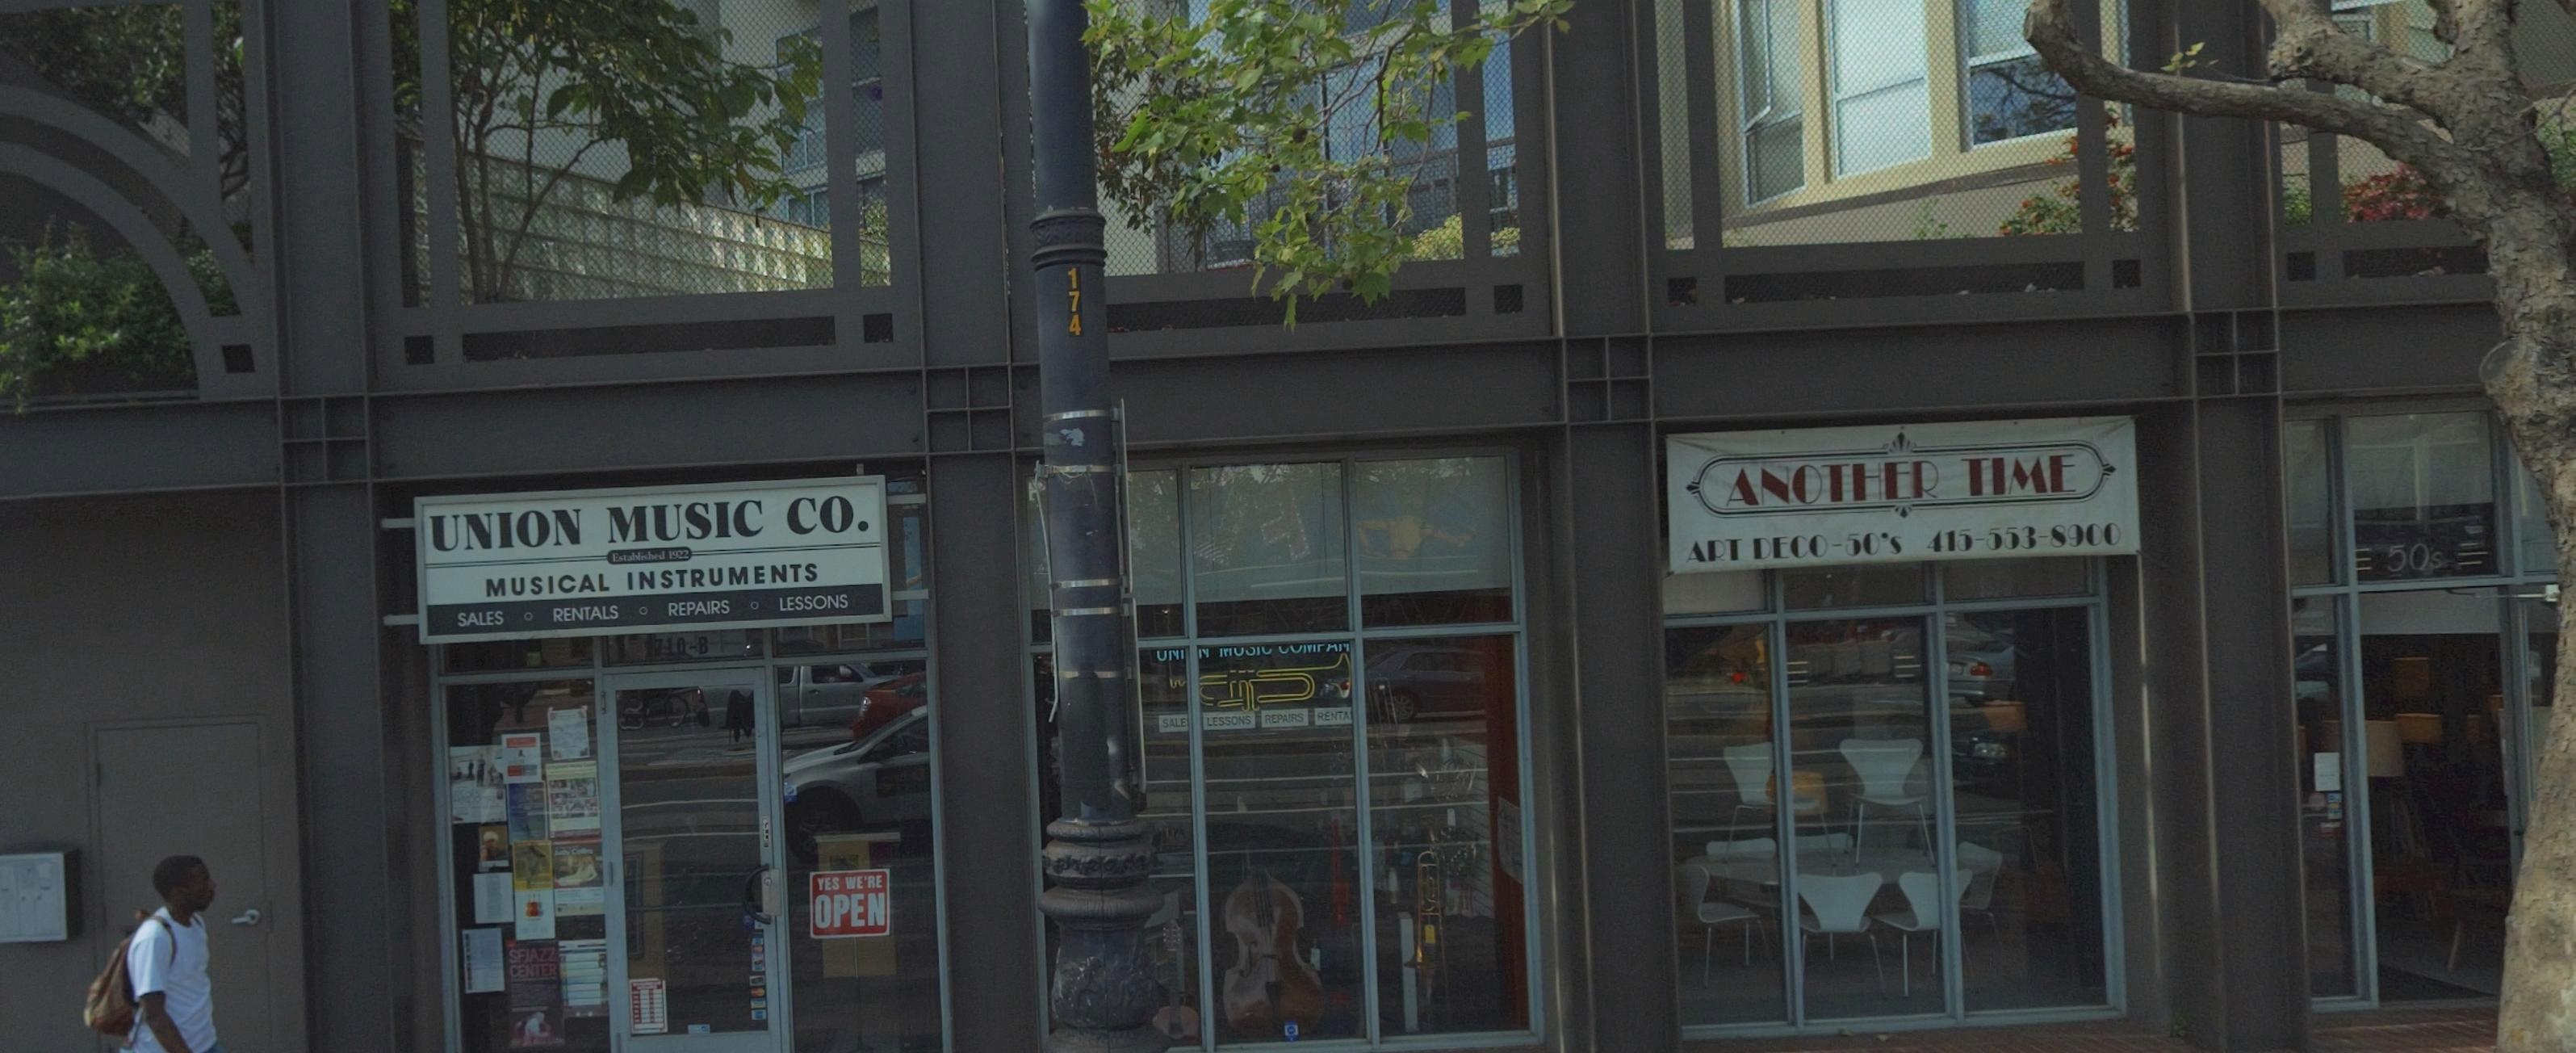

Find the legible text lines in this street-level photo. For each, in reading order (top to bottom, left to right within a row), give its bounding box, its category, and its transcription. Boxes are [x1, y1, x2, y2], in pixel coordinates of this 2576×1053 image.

[1063, 265, 1086, 339] None: 174
[1719, 451, 2080, 511] BusinessName: ANOTHER TIME
[426, 493, 871, 555] BusinessName: UNION MUSIC CO.
[610, 547, 692, 564] None: Established 1922
[1681, 526, 1908, 568] BusinessName: ART DECO-50'S
[1923, 520, 2123, 556] None: 415-553-8900
[2384, 541, 2447, 574] None: 50's
[483, 559, 821, 600] None: MUSICAL INSTRUMENTS
[455, 591, 851, 629] None: SALES * RENTALS * REPAIRS * LESSONS
[642, 633, 712, 661] StreetNumber: 1710-B
[1160, 715, 1189, 730] None: SALE
[1204, 713, 1254, 728] None: LESSONS
[1263, 711, 1306, 726] None: REPAIRS
[1316, 708, 1353, 724] None: RENTA
[814, 872, 886, 892] None: YES WE'RE
[812, 890, 889, 932] None: OPEN
[505, 945, 559, 966] None: SFJAZZ
[508, 961, 559, 980] None: CENTER